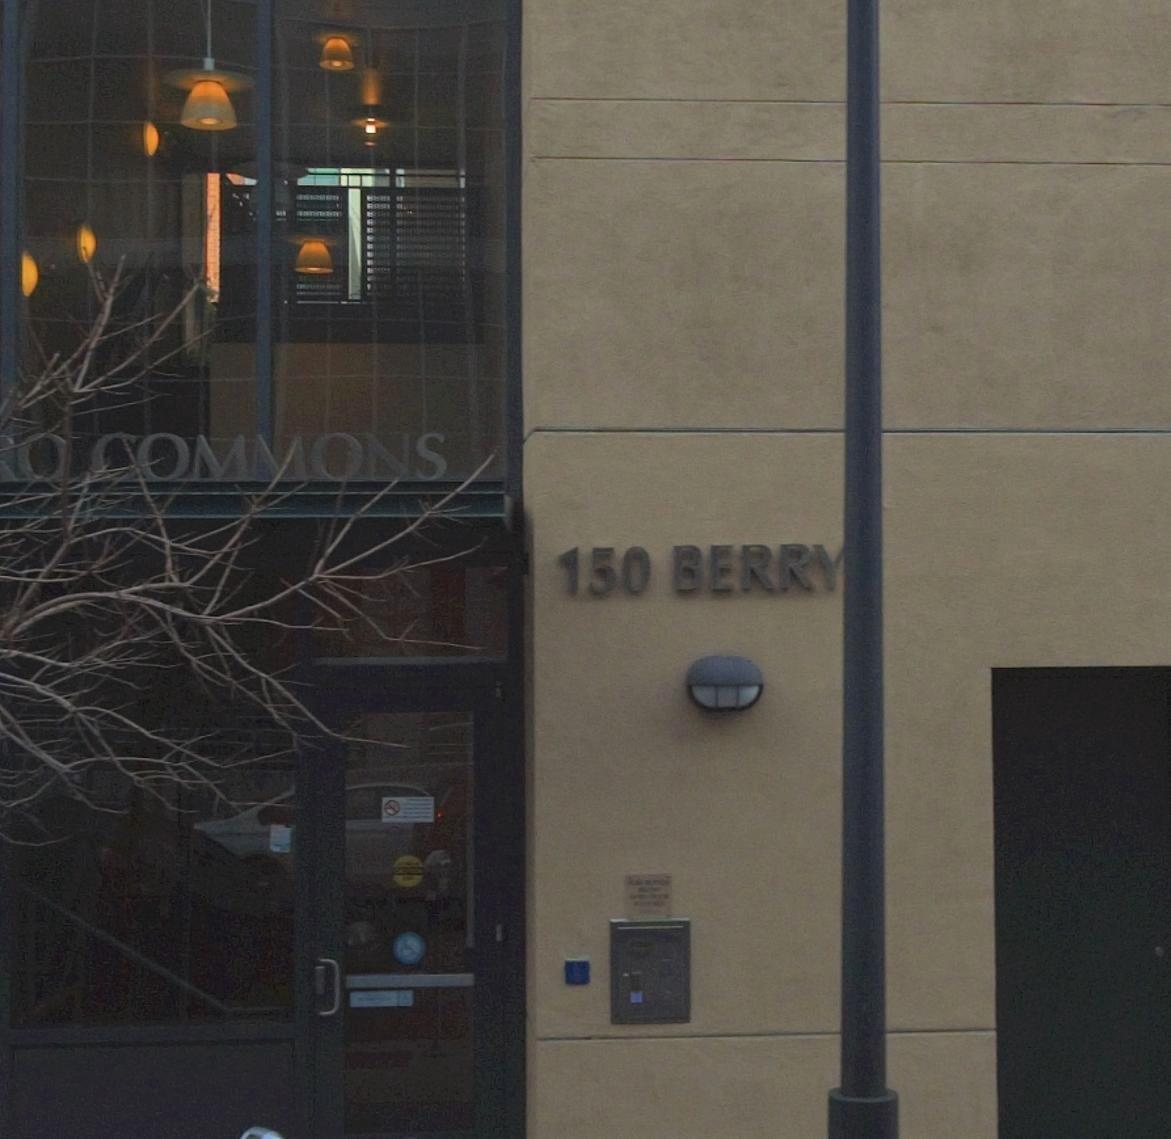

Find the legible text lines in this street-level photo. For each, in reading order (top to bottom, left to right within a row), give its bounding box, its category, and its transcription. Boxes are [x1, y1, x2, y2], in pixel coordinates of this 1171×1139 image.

[87, 427, 452, 487] BusinessName: *OMMONS
[552, 541, 654, 601] StreetNumber: 150
[669, 539, 847, 596] StreetName: BERRY